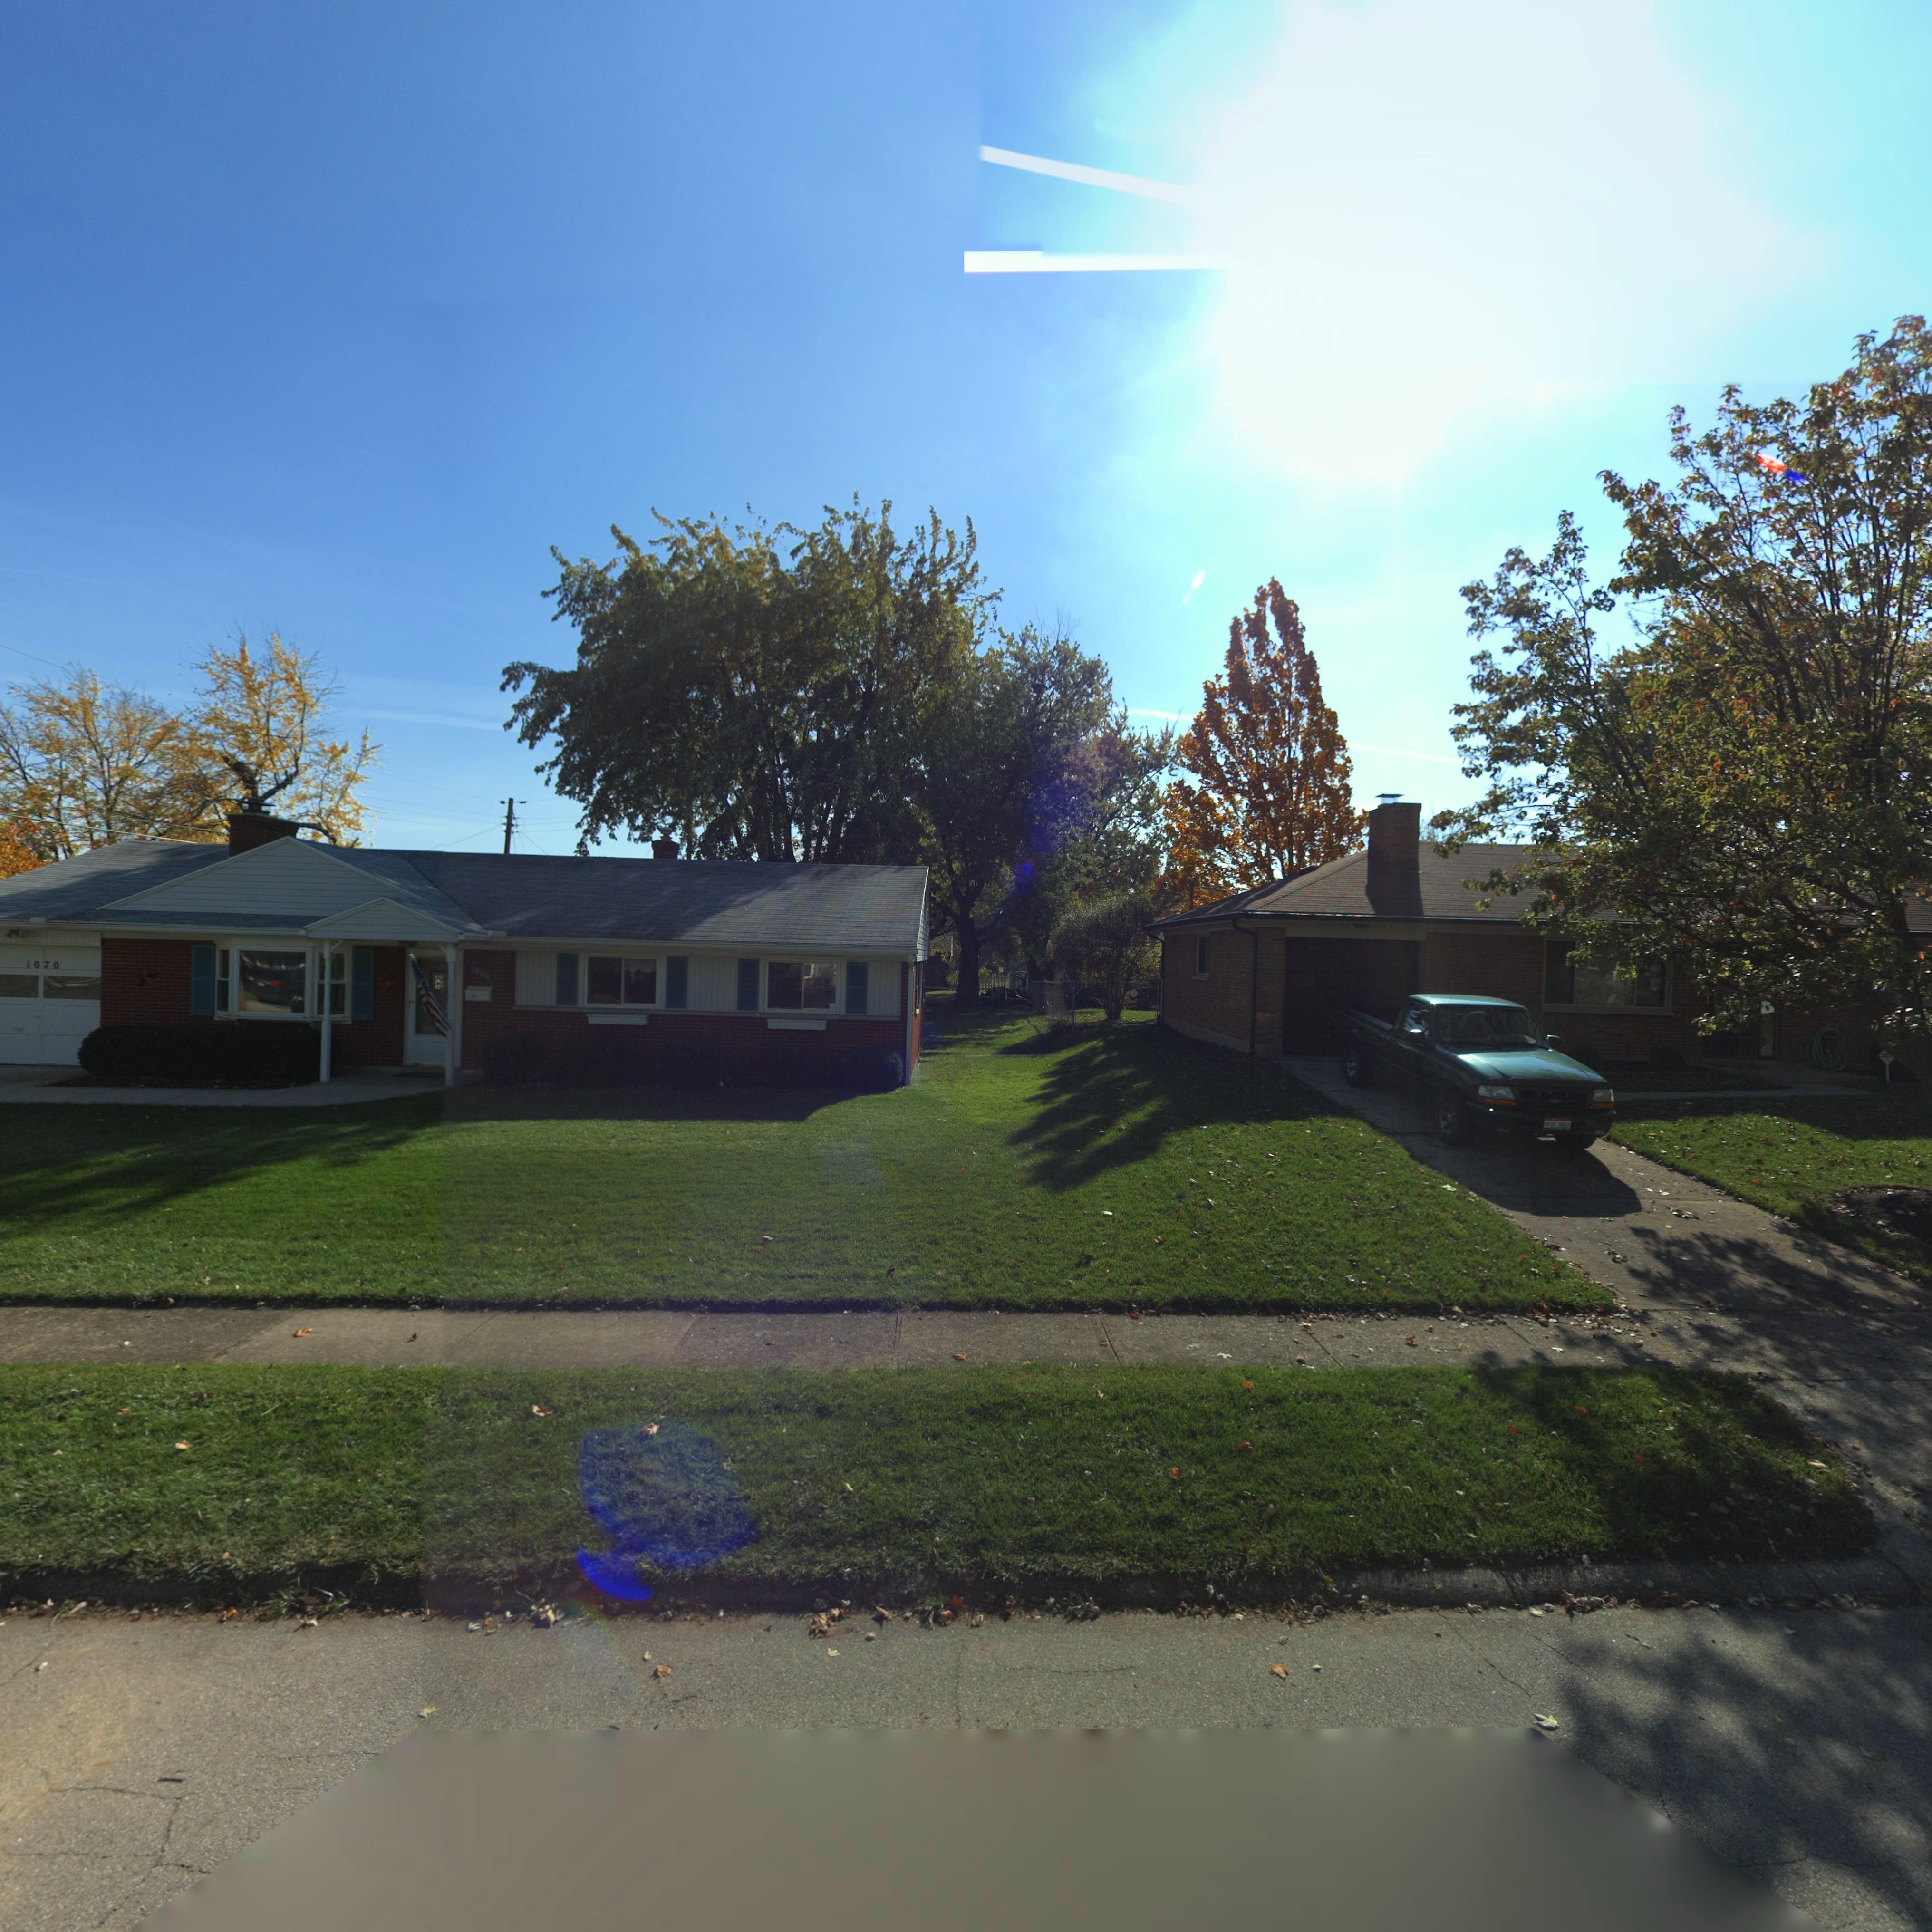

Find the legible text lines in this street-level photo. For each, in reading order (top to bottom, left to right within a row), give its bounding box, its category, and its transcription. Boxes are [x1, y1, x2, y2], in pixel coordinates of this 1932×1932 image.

[25, 959, 59, 969] StreetNumber: 1070
[472, 965, 490, 980] StreetNumber: 1070